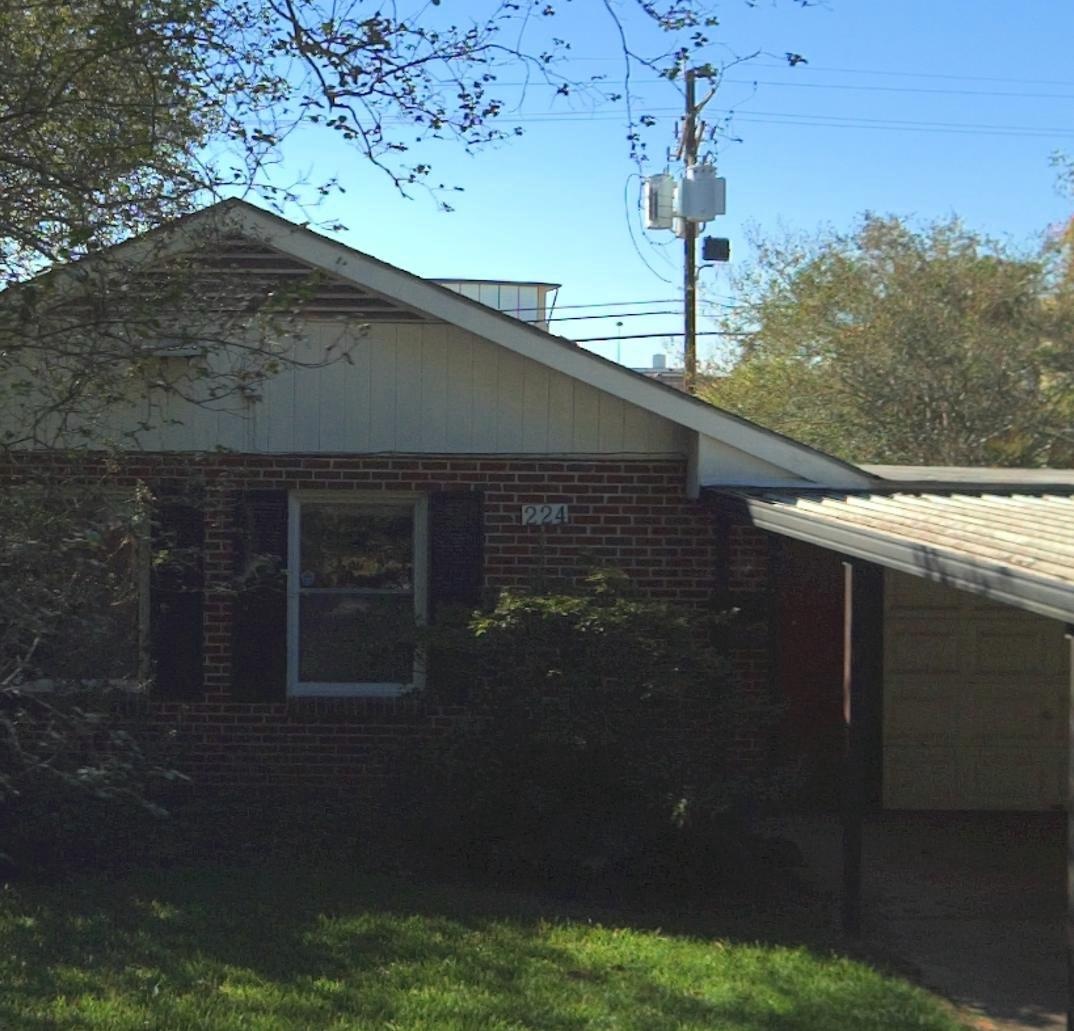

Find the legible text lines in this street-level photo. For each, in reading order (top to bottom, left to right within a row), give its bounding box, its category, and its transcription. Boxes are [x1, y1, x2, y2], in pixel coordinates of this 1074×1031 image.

[523, 504, 568, 526] StreetNumber: 224